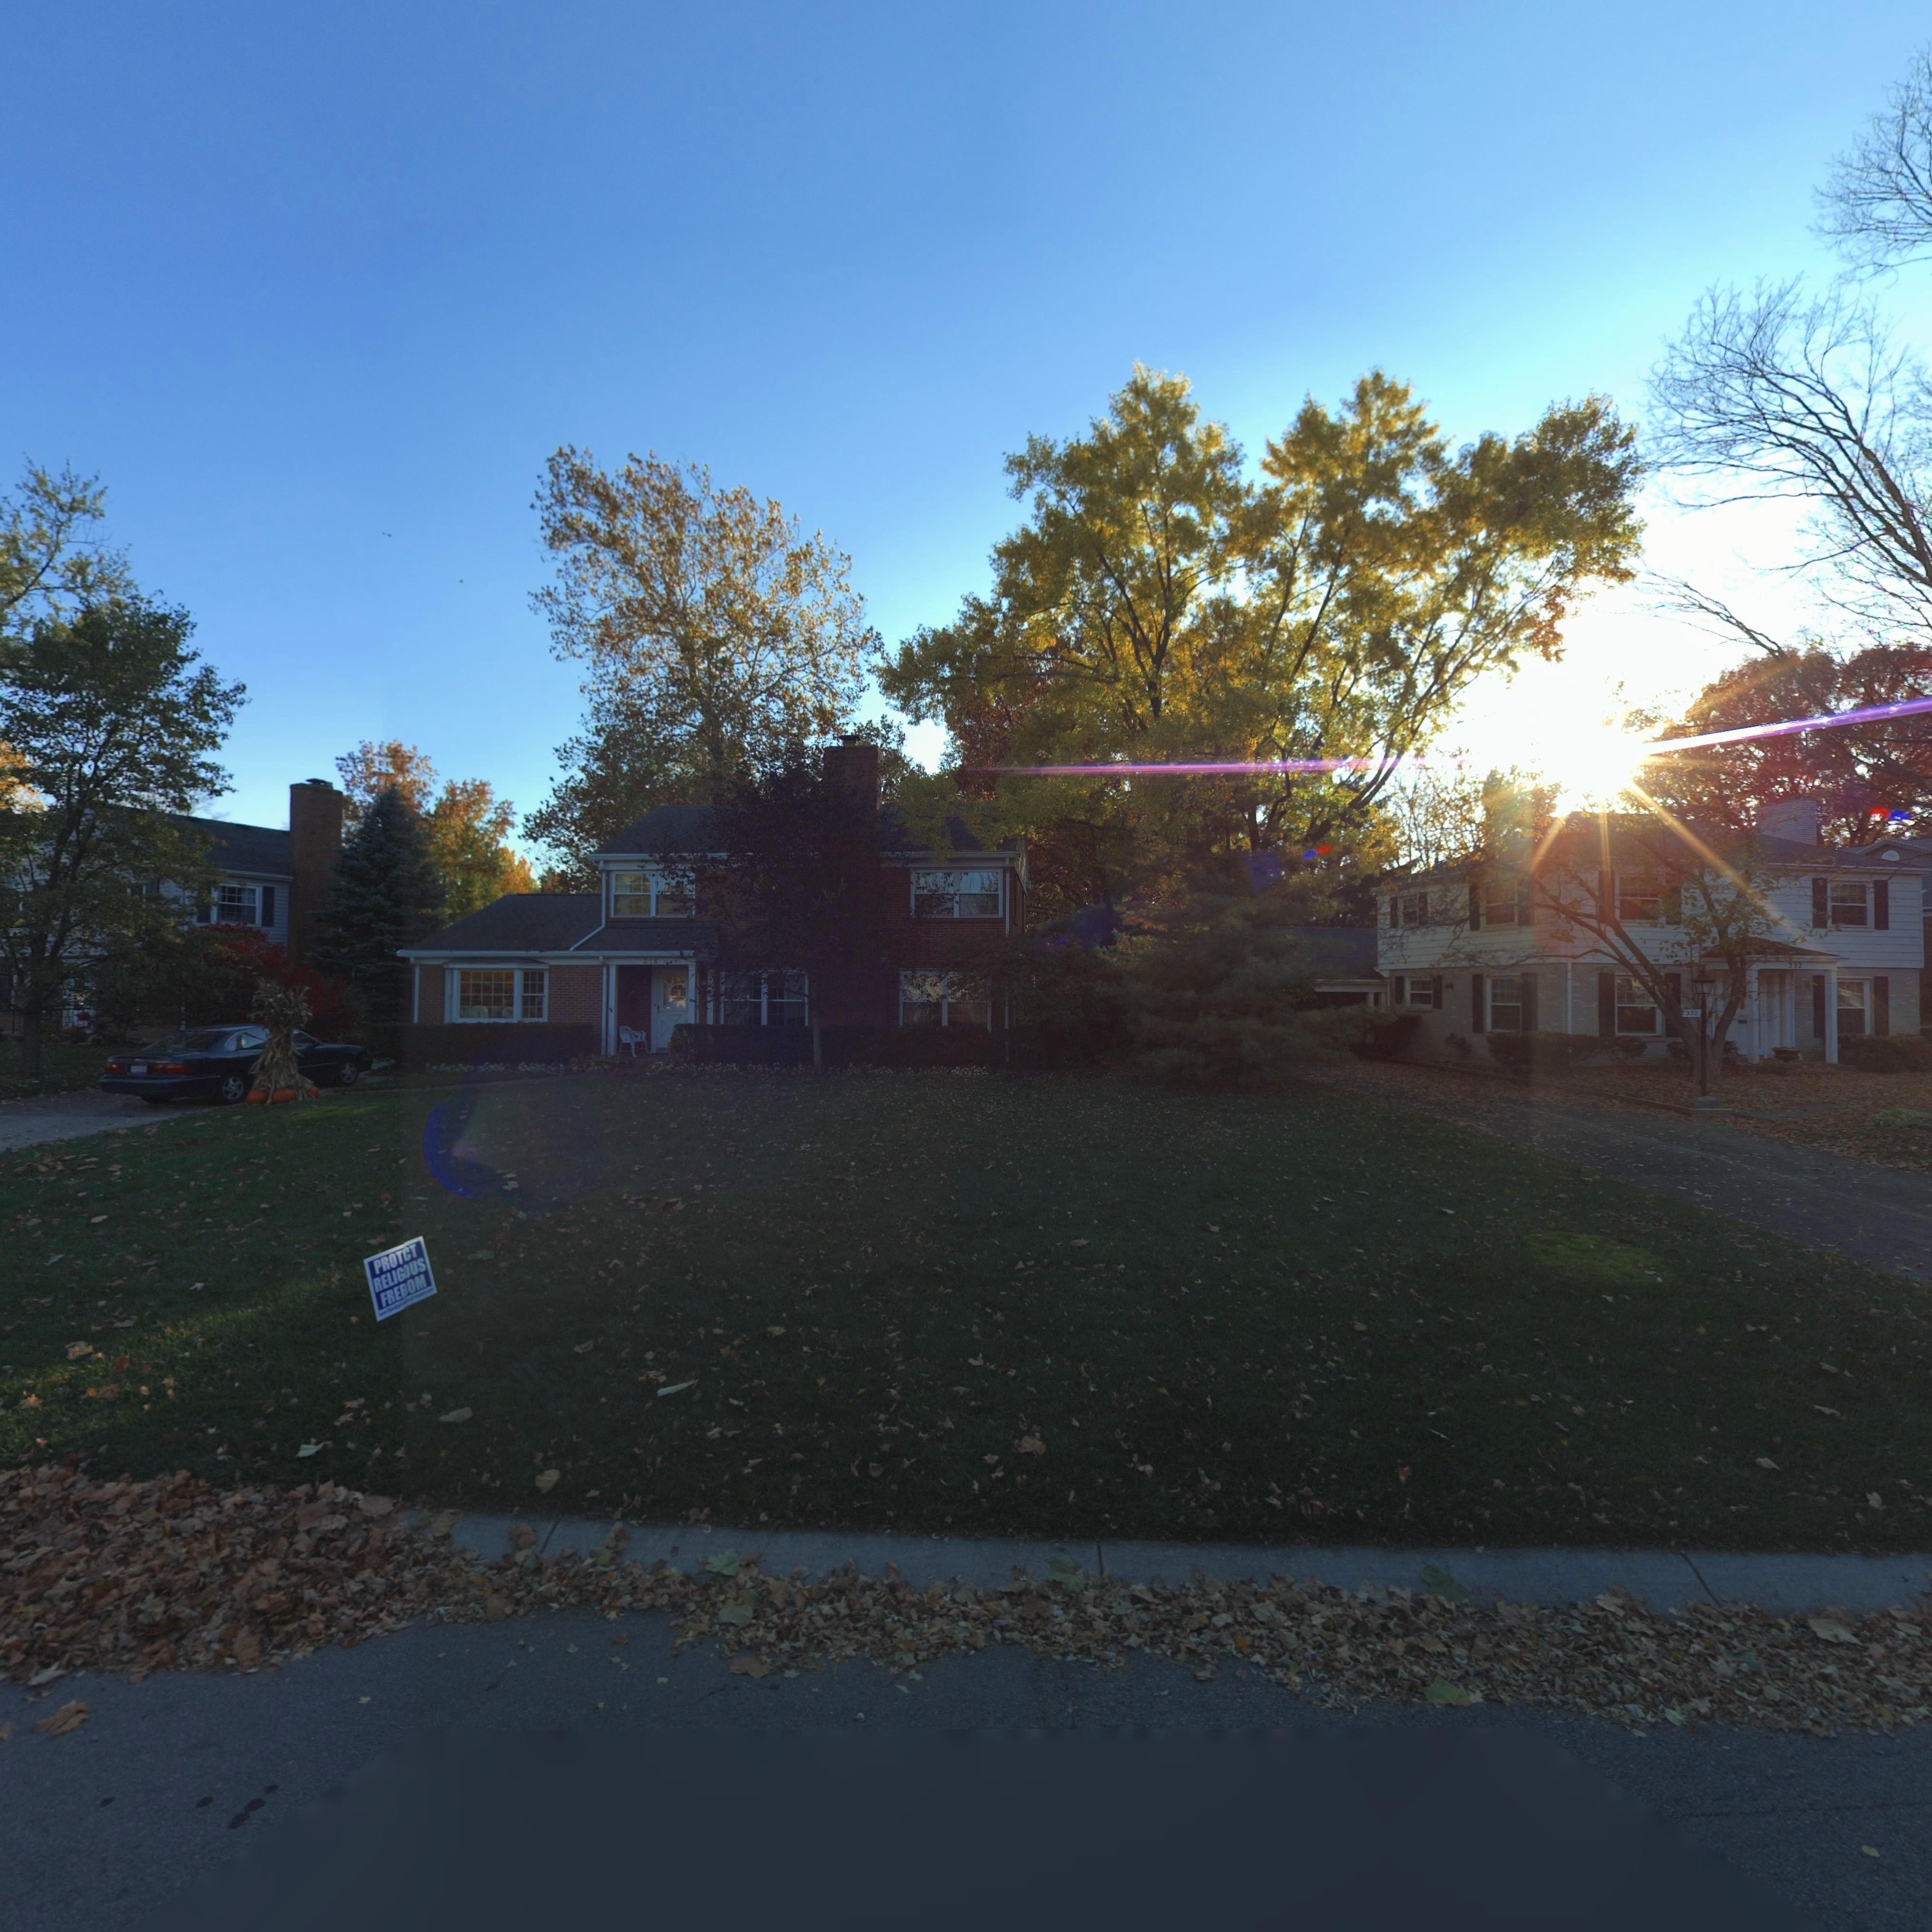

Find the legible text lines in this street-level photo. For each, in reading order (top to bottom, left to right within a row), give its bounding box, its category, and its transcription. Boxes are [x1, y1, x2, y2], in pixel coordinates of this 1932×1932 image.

[643, 956, 658, 965] StreetNumber: 31*
[1787, 961, 1803, 969] StreetNumber: 332
[1684, 1010, 1700, 1017] StreetNumber: 33*